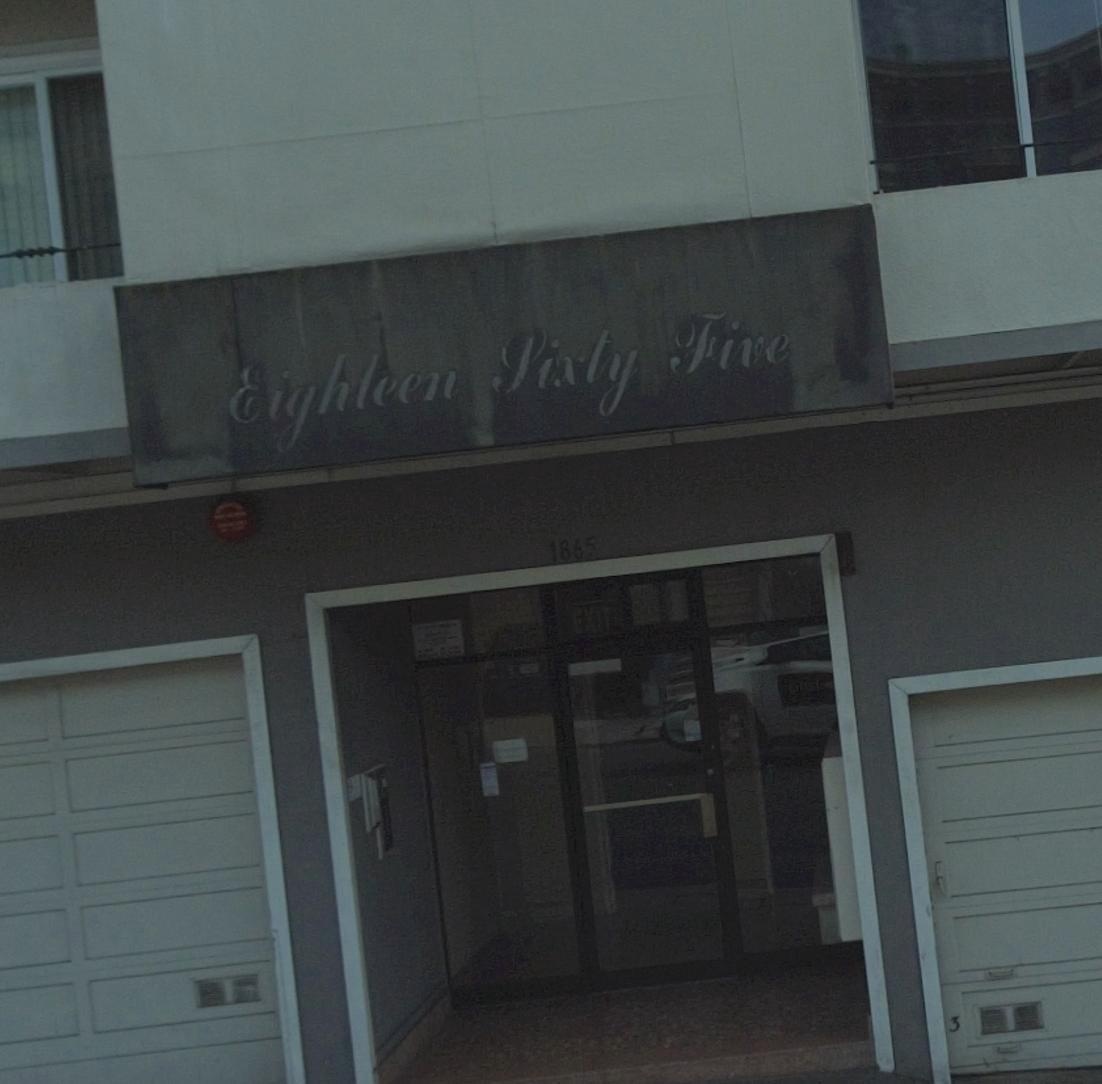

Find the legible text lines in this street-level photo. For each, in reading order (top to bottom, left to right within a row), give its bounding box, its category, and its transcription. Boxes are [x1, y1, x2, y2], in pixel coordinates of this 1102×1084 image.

[223, 302, 799, 461] StreetNumber: Eighteen Sixty Five
[546, 530, 602, 567] StreetNumber: 1865